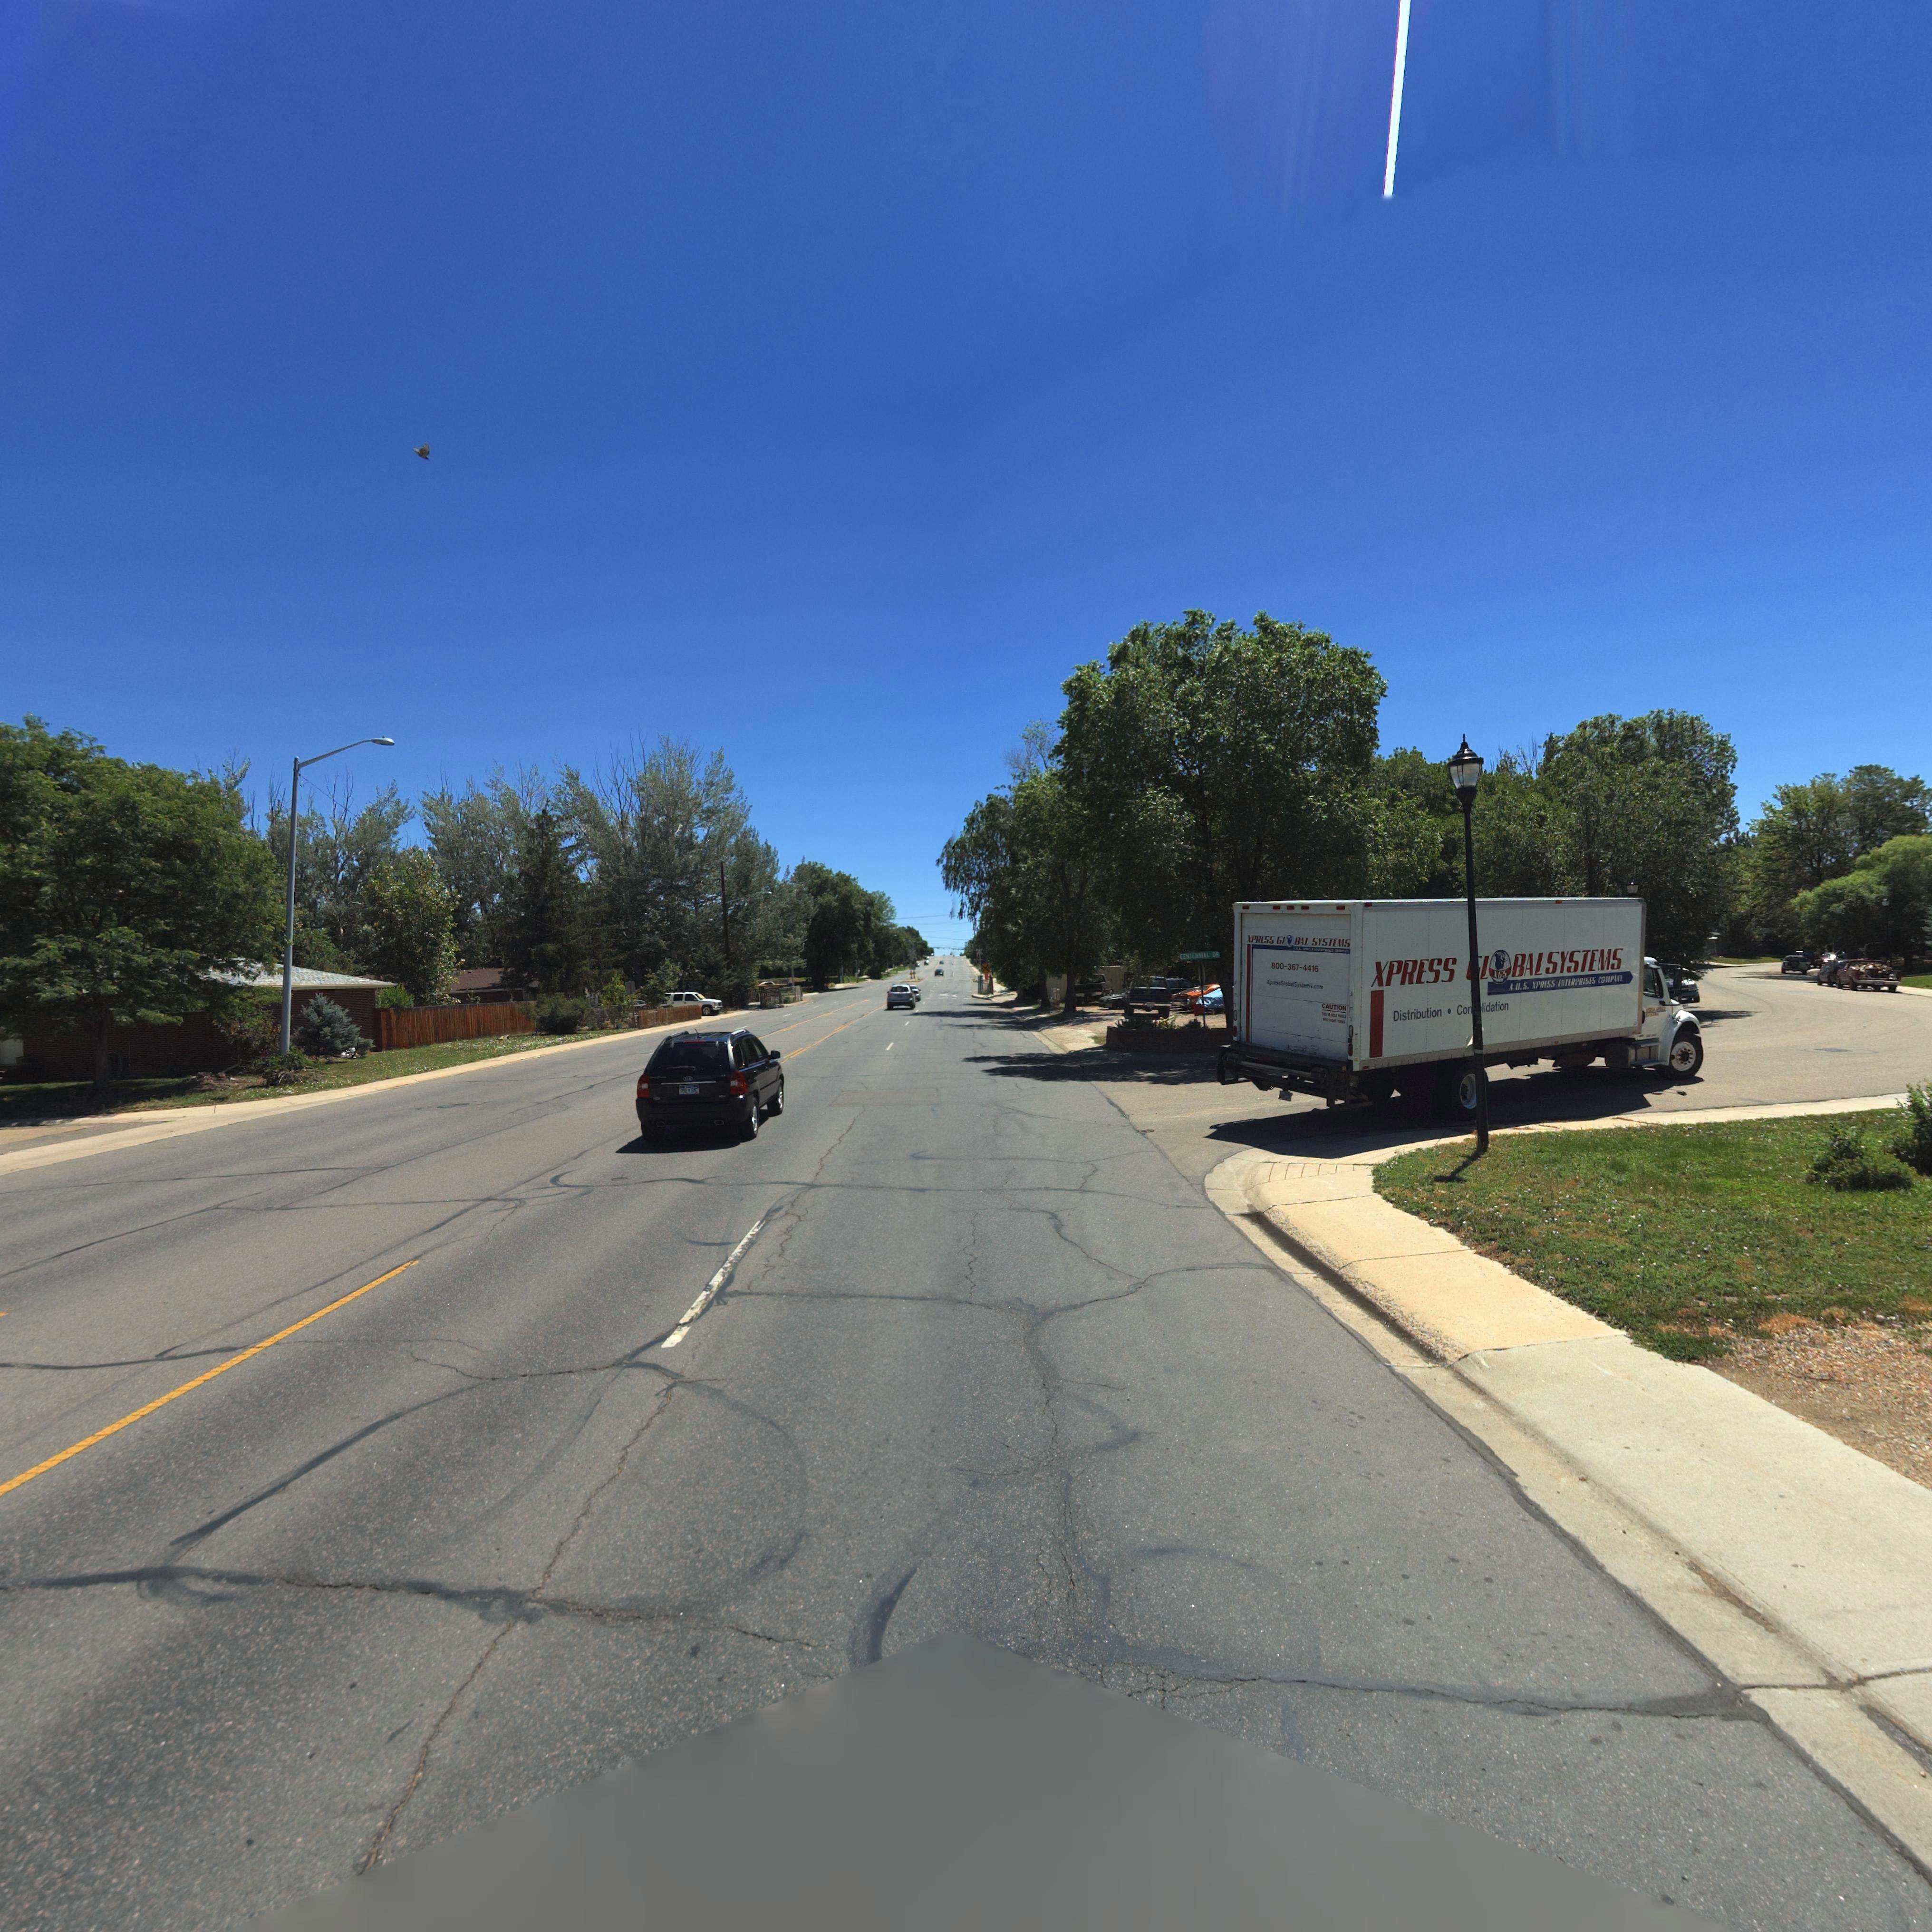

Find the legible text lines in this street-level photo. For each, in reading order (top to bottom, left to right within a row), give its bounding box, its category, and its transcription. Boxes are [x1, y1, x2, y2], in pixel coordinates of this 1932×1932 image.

[1180, 951, 1219, 959] StreetName: CENTENNIAL DR